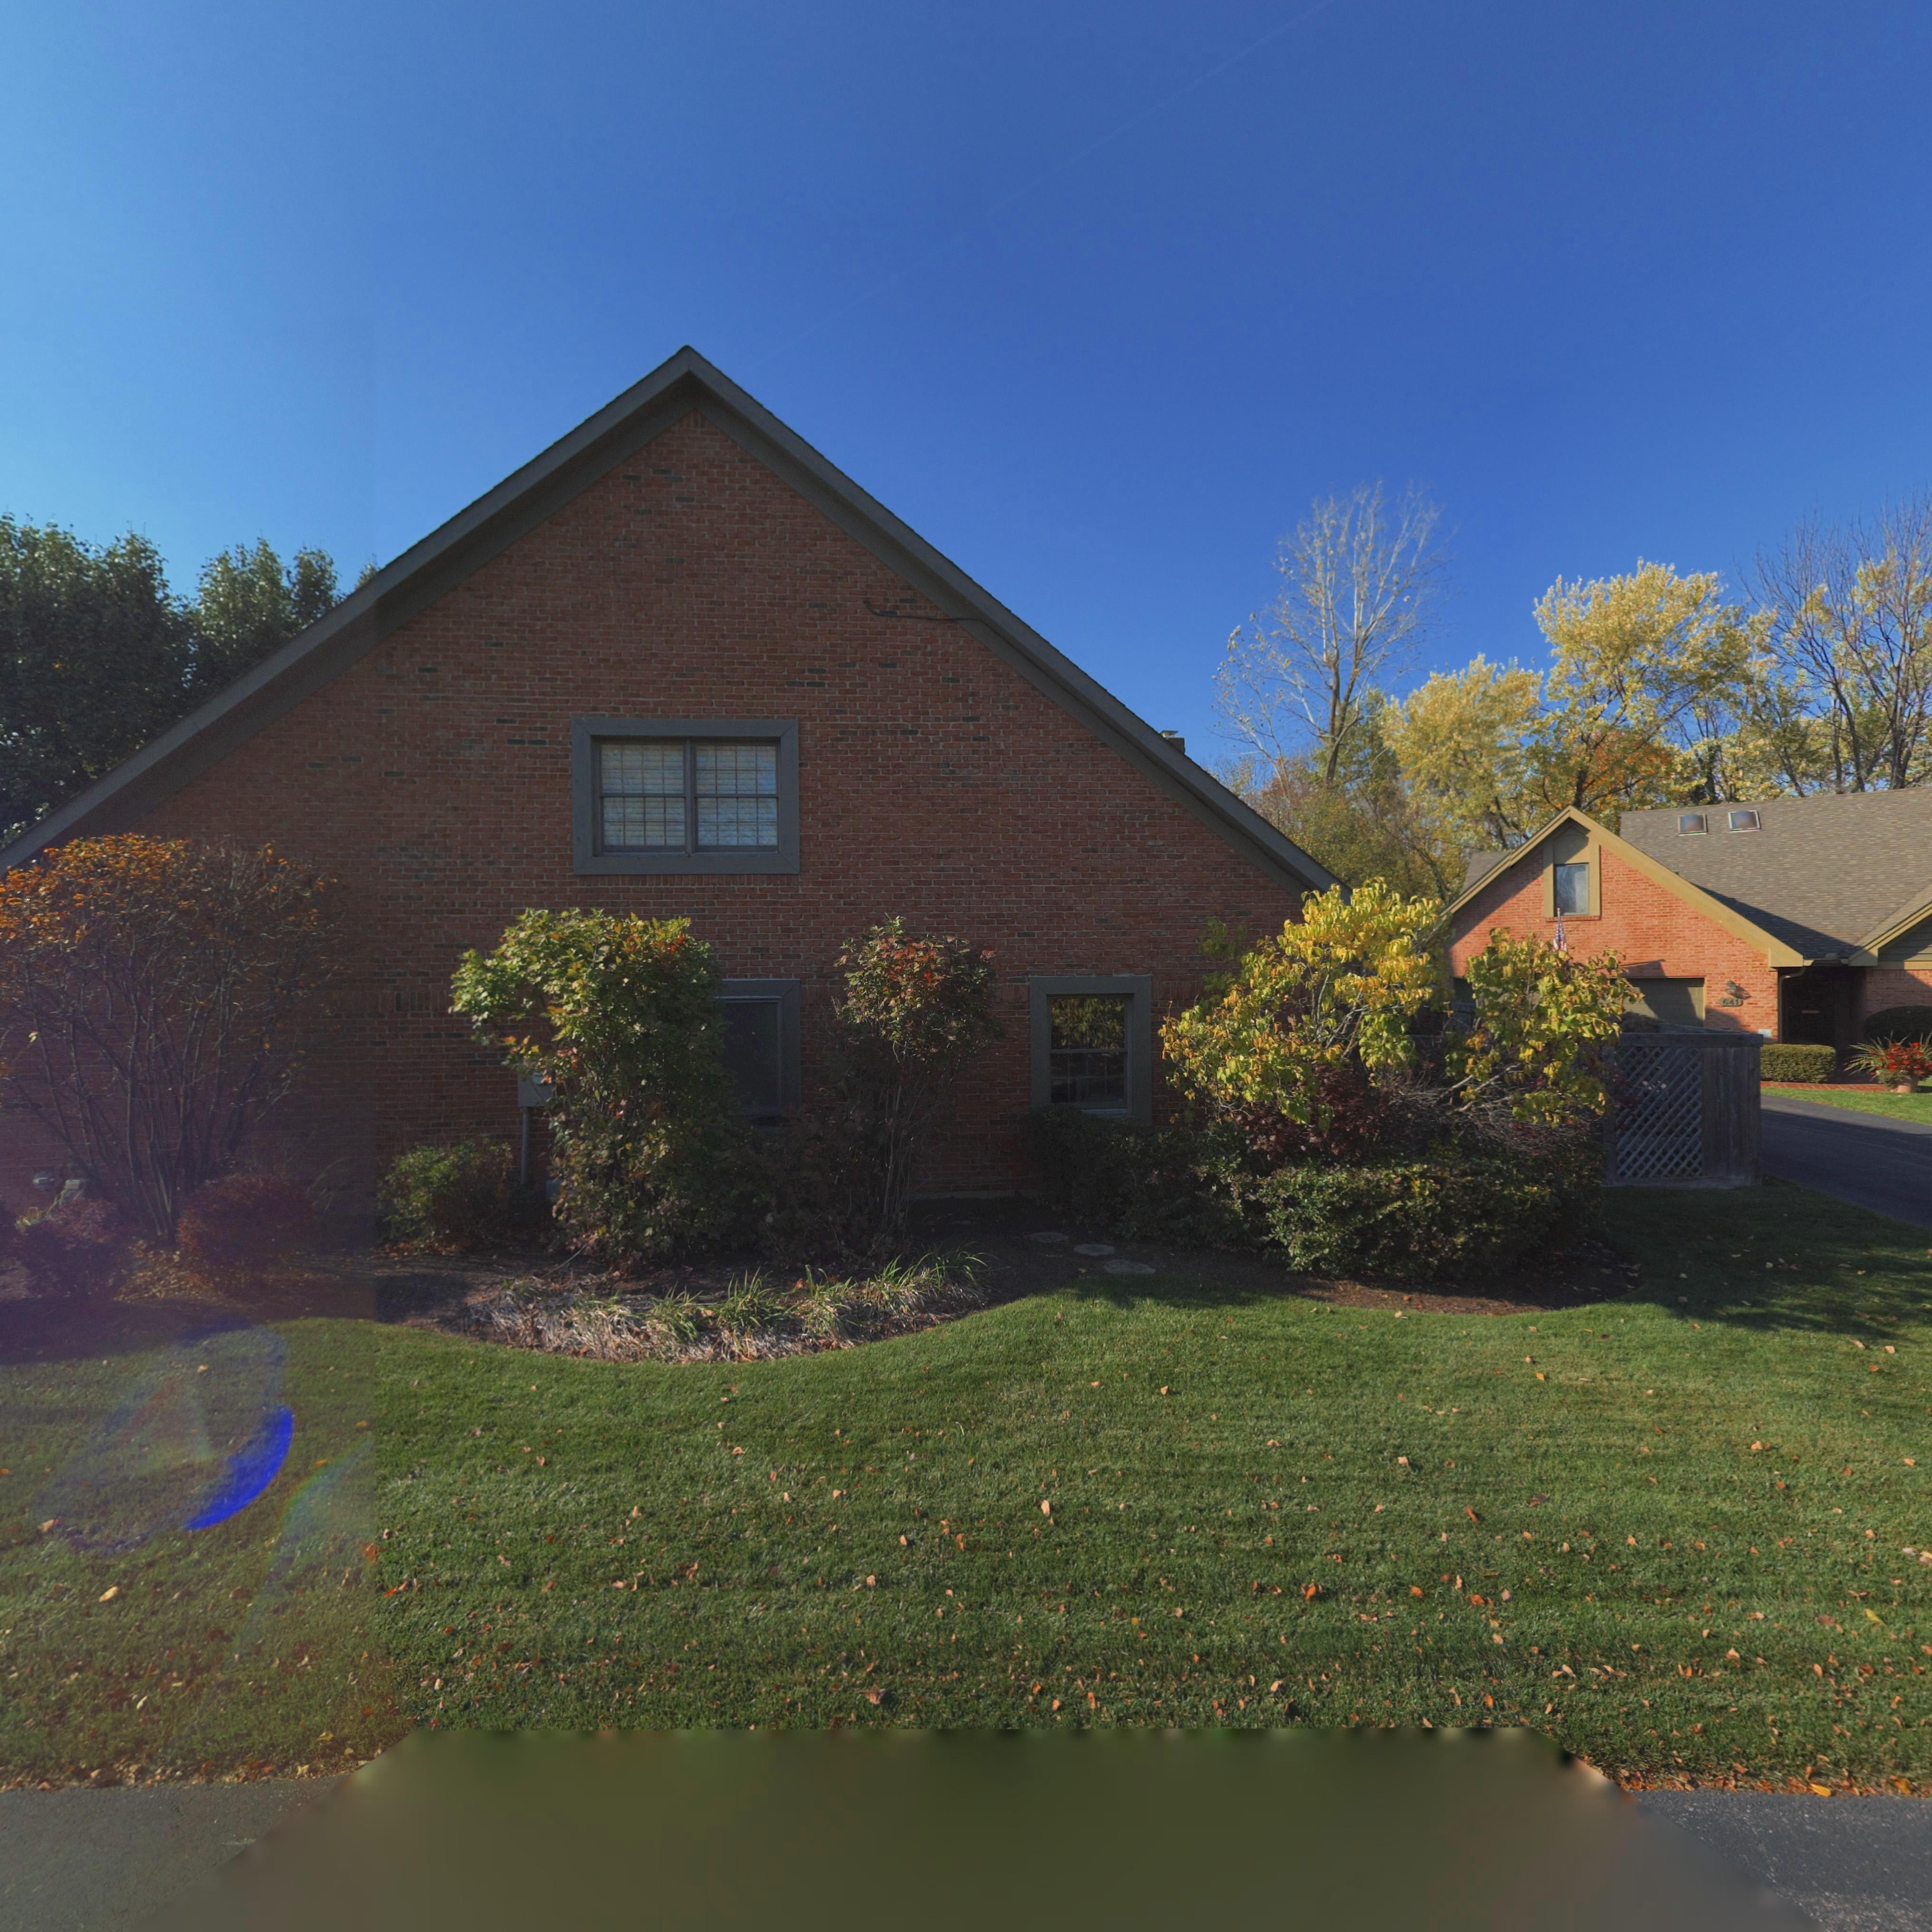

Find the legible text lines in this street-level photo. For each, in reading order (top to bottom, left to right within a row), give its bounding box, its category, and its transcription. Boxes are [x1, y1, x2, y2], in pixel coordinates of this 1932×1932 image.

[1721, 998, 1739, 1006] StreetNumber: 641